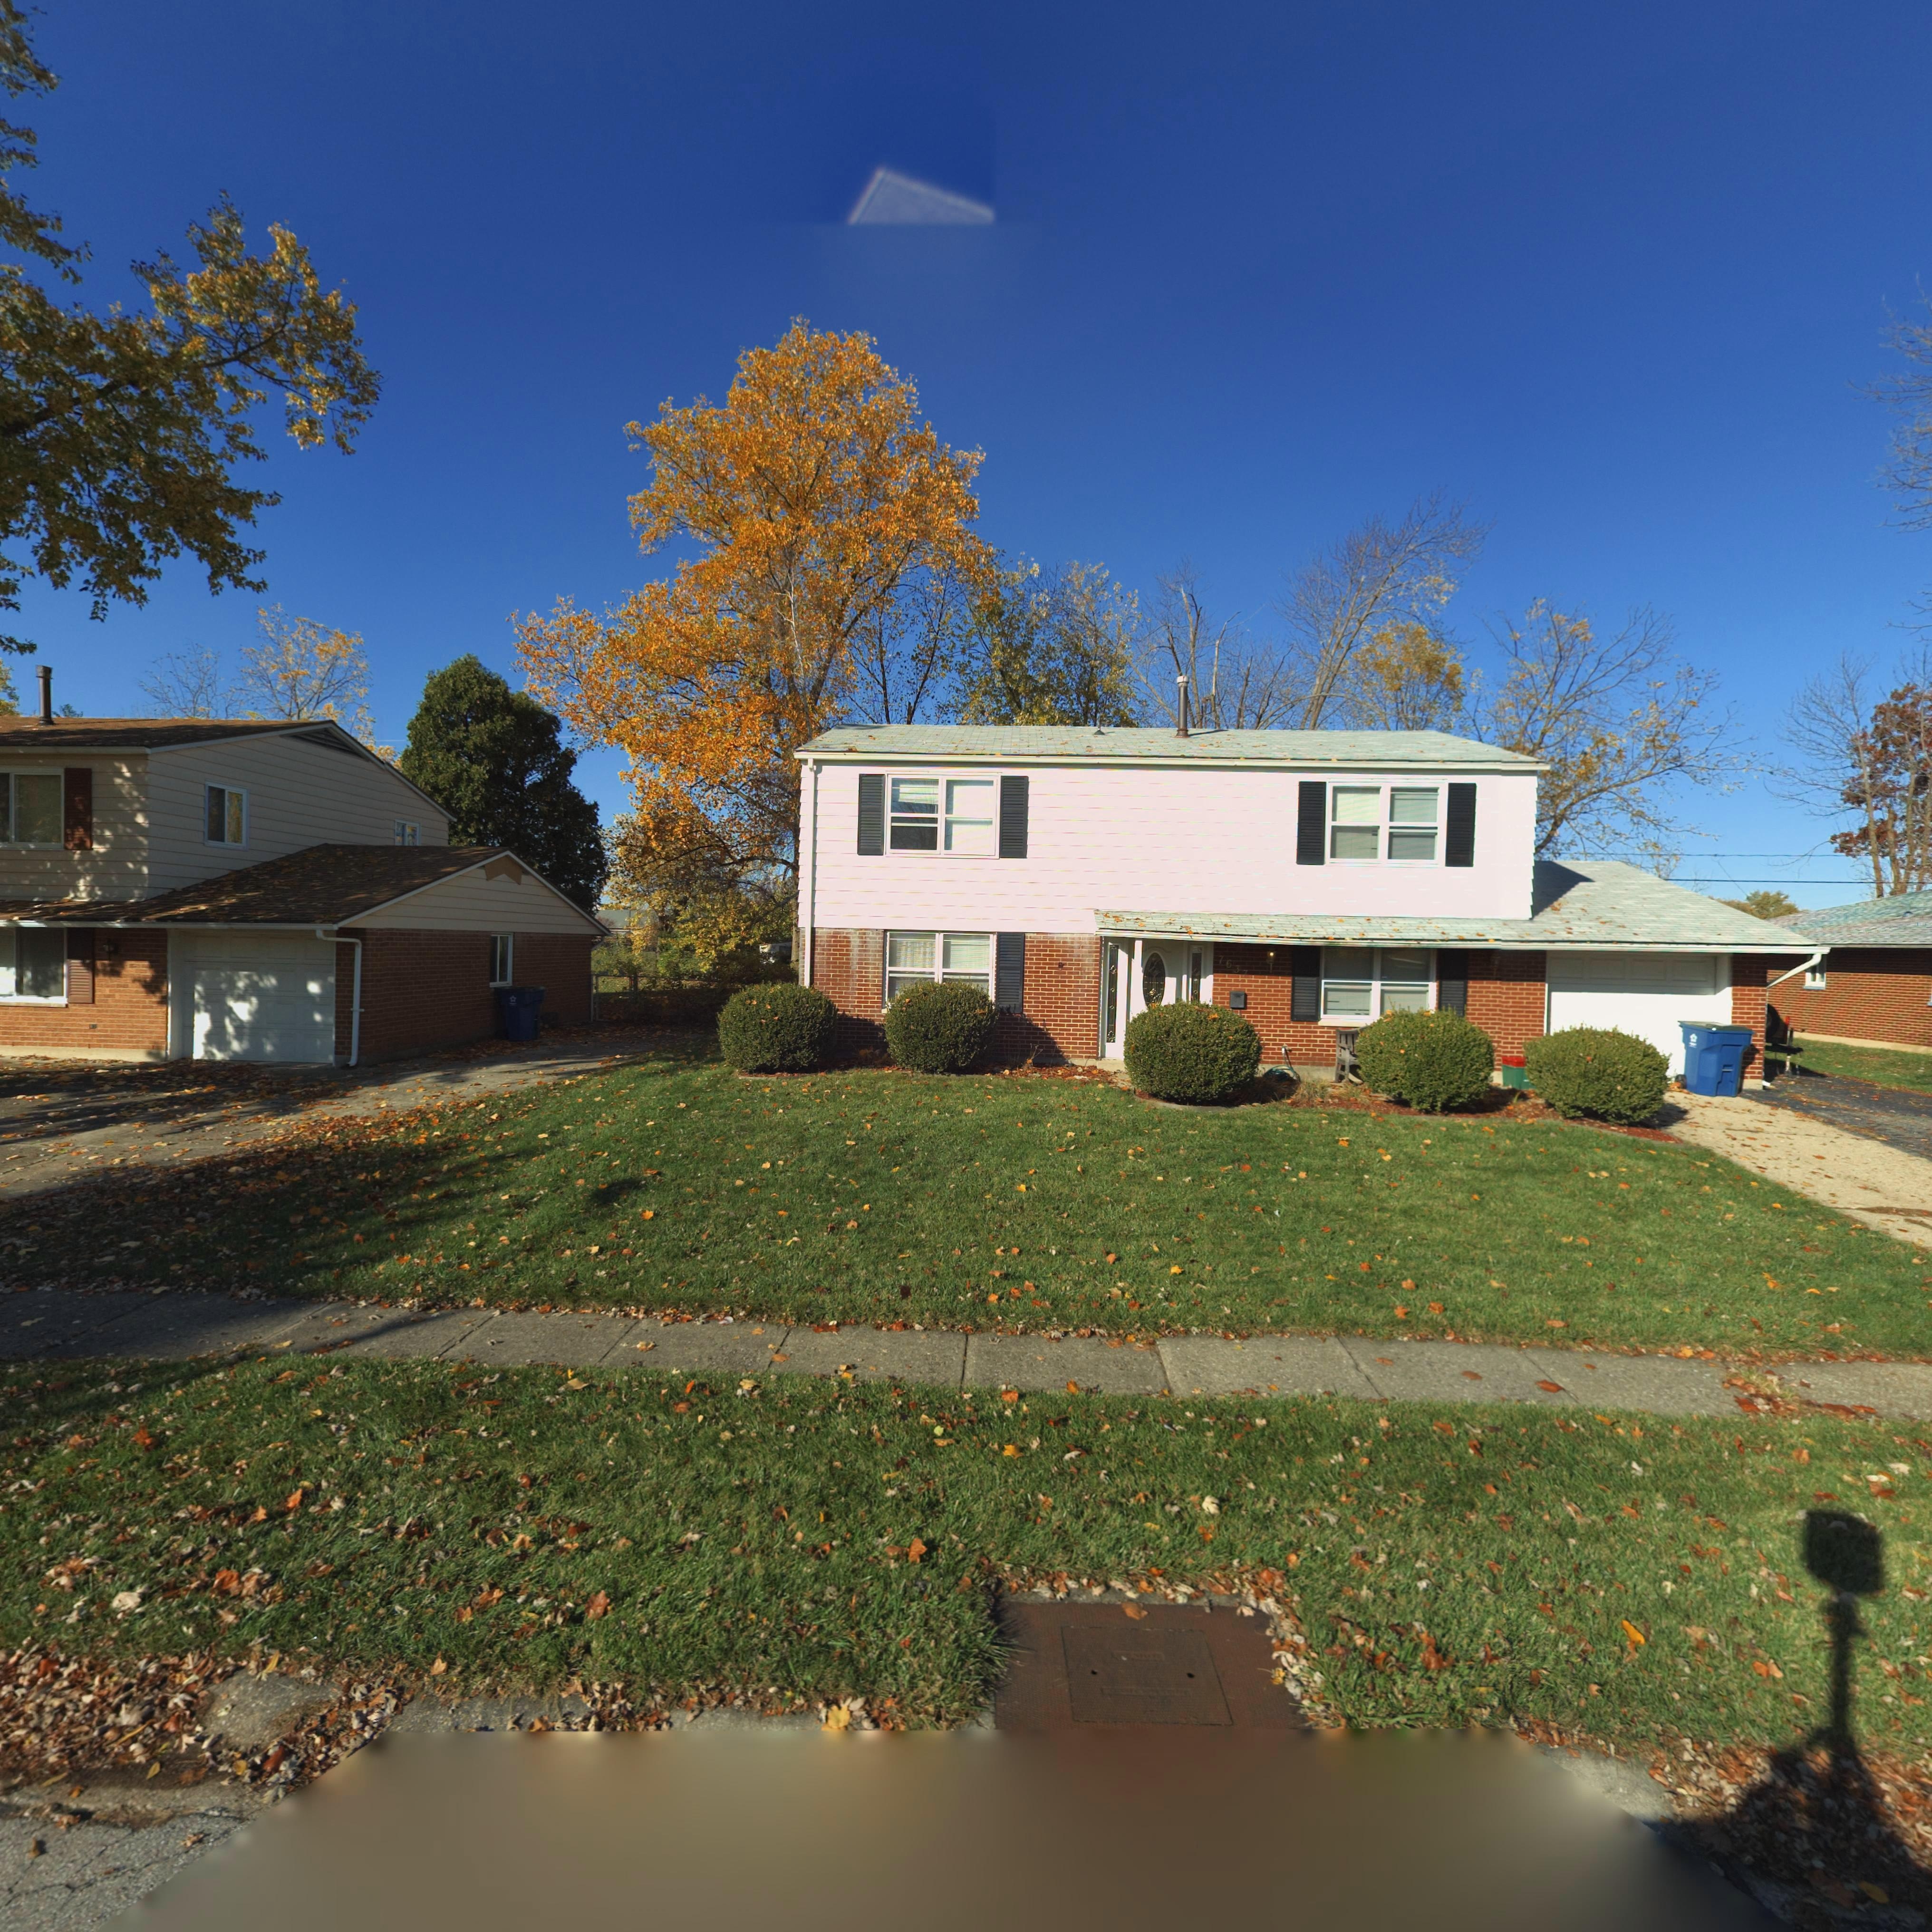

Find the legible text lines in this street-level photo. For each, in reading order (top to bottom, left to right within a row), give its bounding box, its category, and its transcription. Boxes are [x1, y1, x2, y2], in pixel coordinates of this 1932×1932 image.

[1217, 954, 1249, 978] StreetNumber: 7637